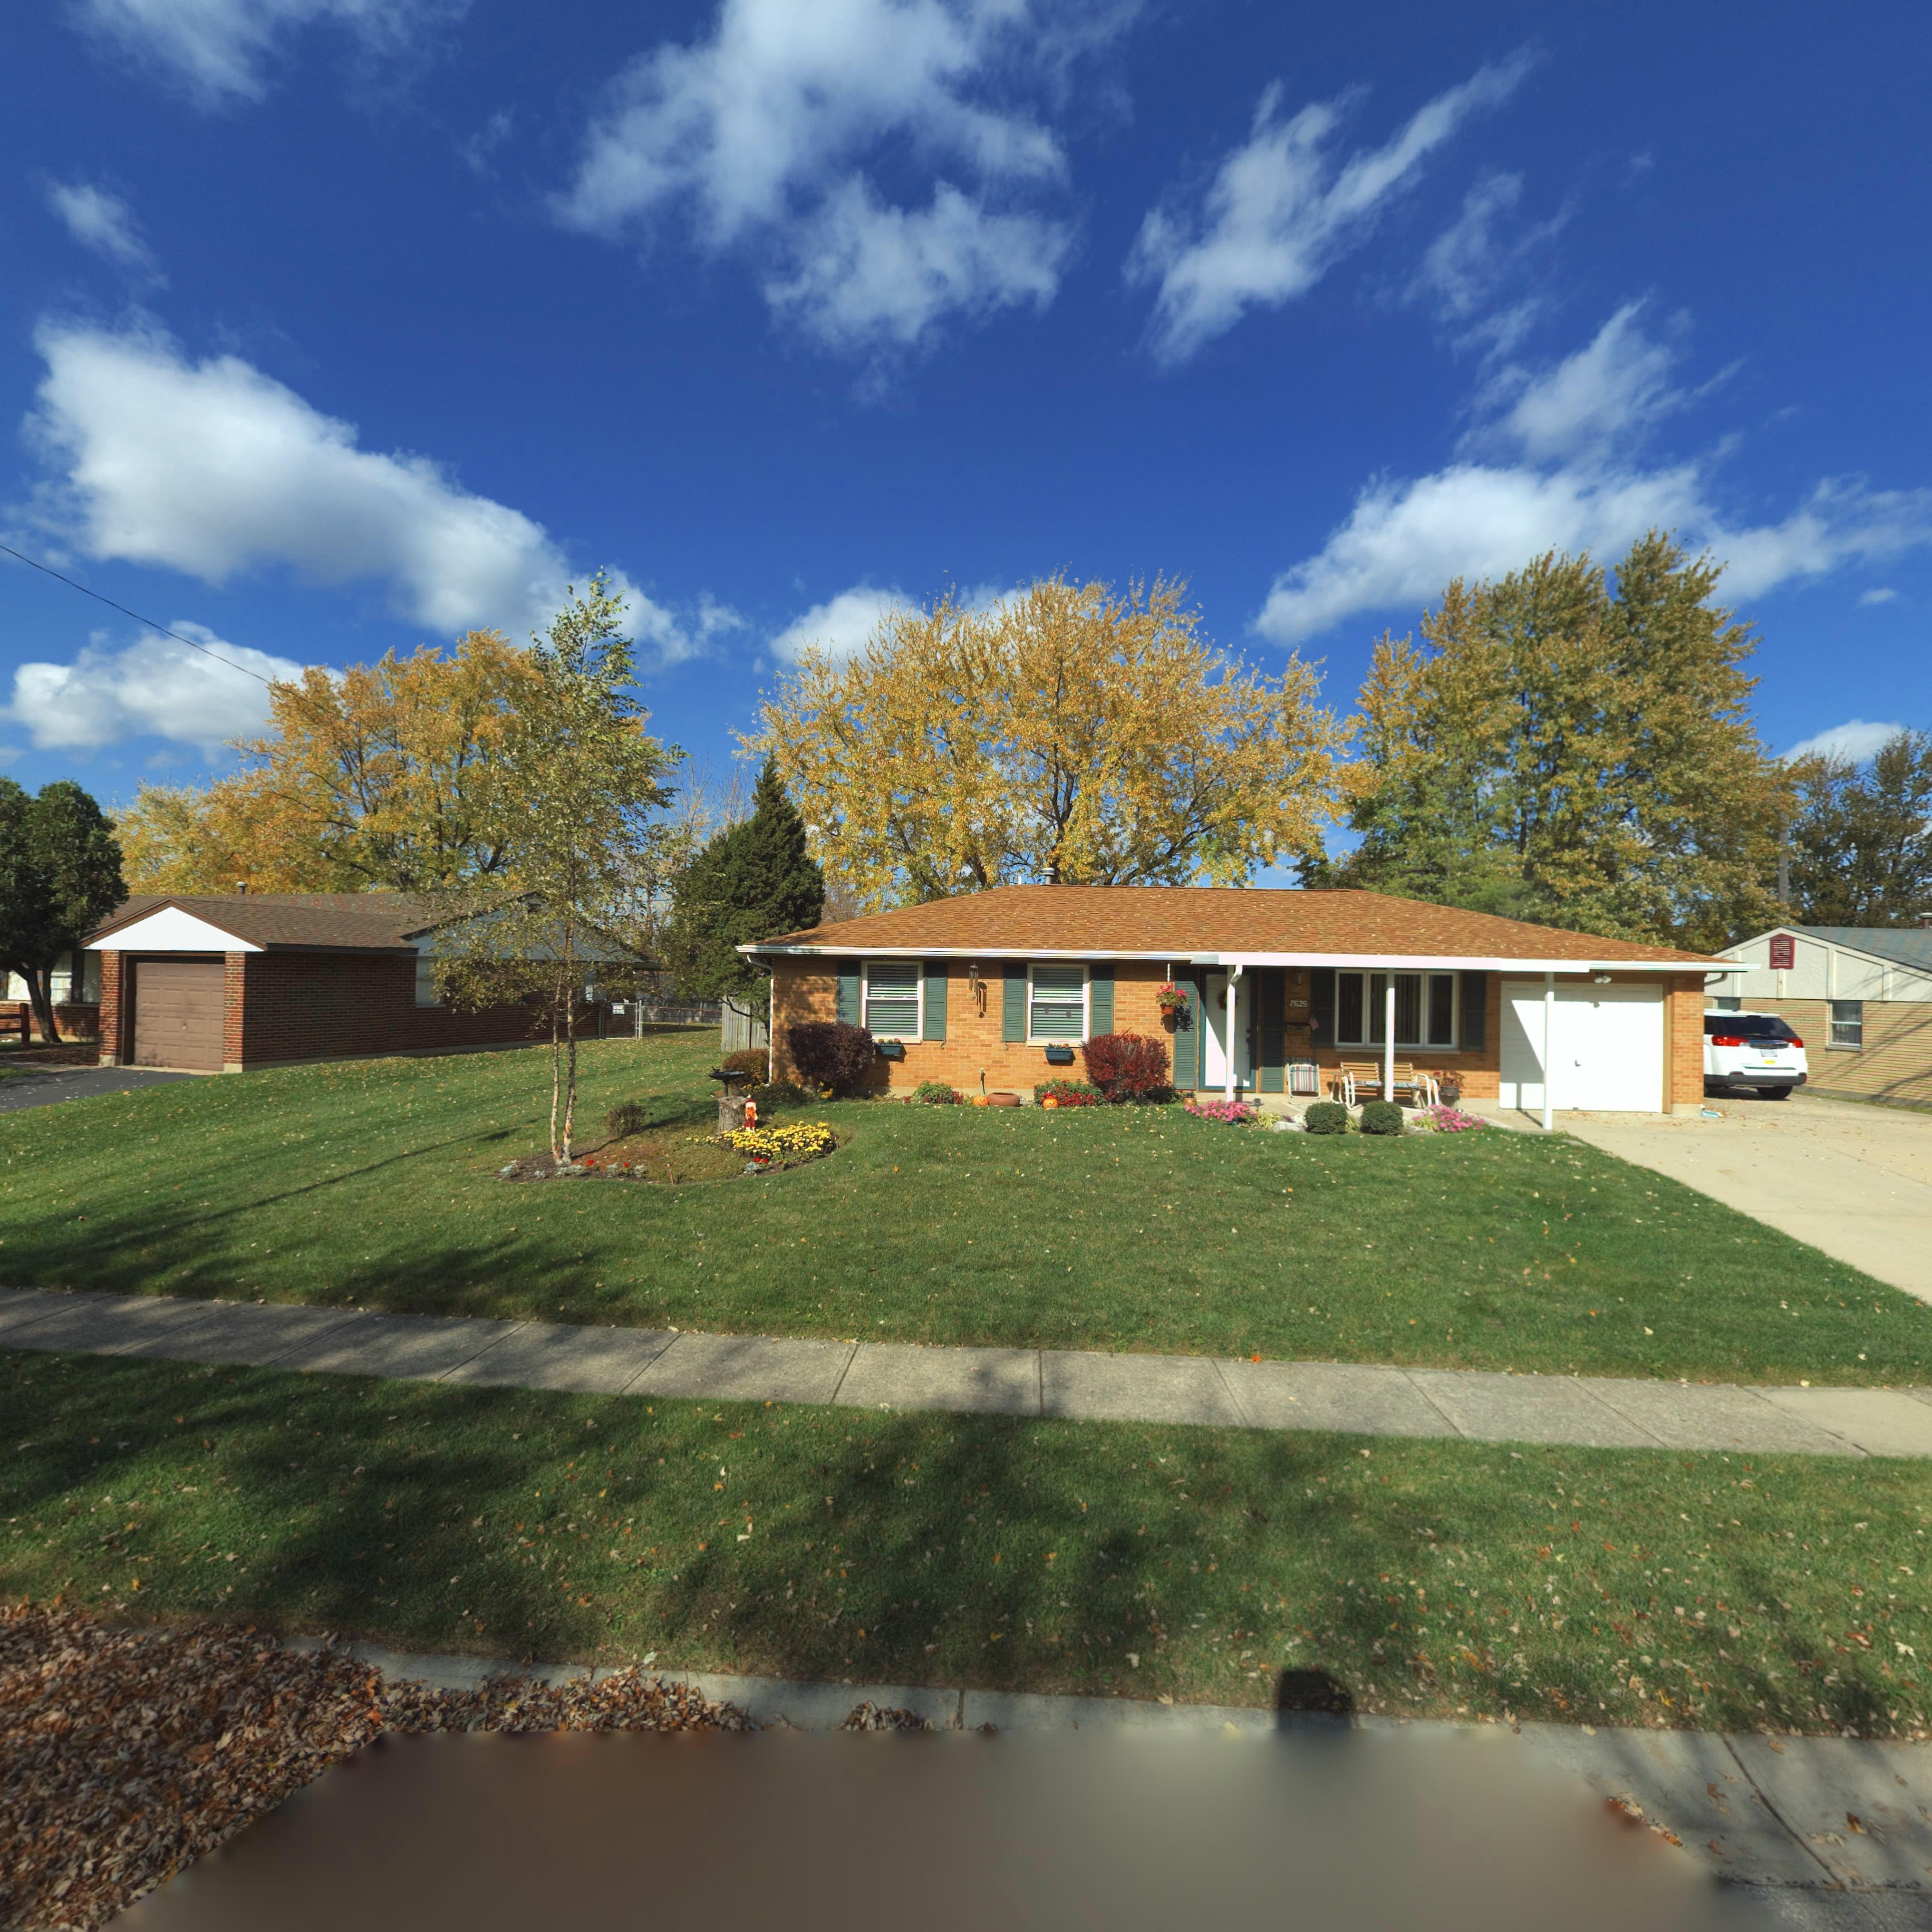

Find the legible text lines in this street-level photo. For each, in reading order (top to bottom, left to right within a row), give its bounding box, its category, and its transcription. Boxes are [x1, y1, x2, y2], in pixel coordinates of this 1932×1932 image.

[1289, 1000, 1308, 1008] StreetNumber: 7625